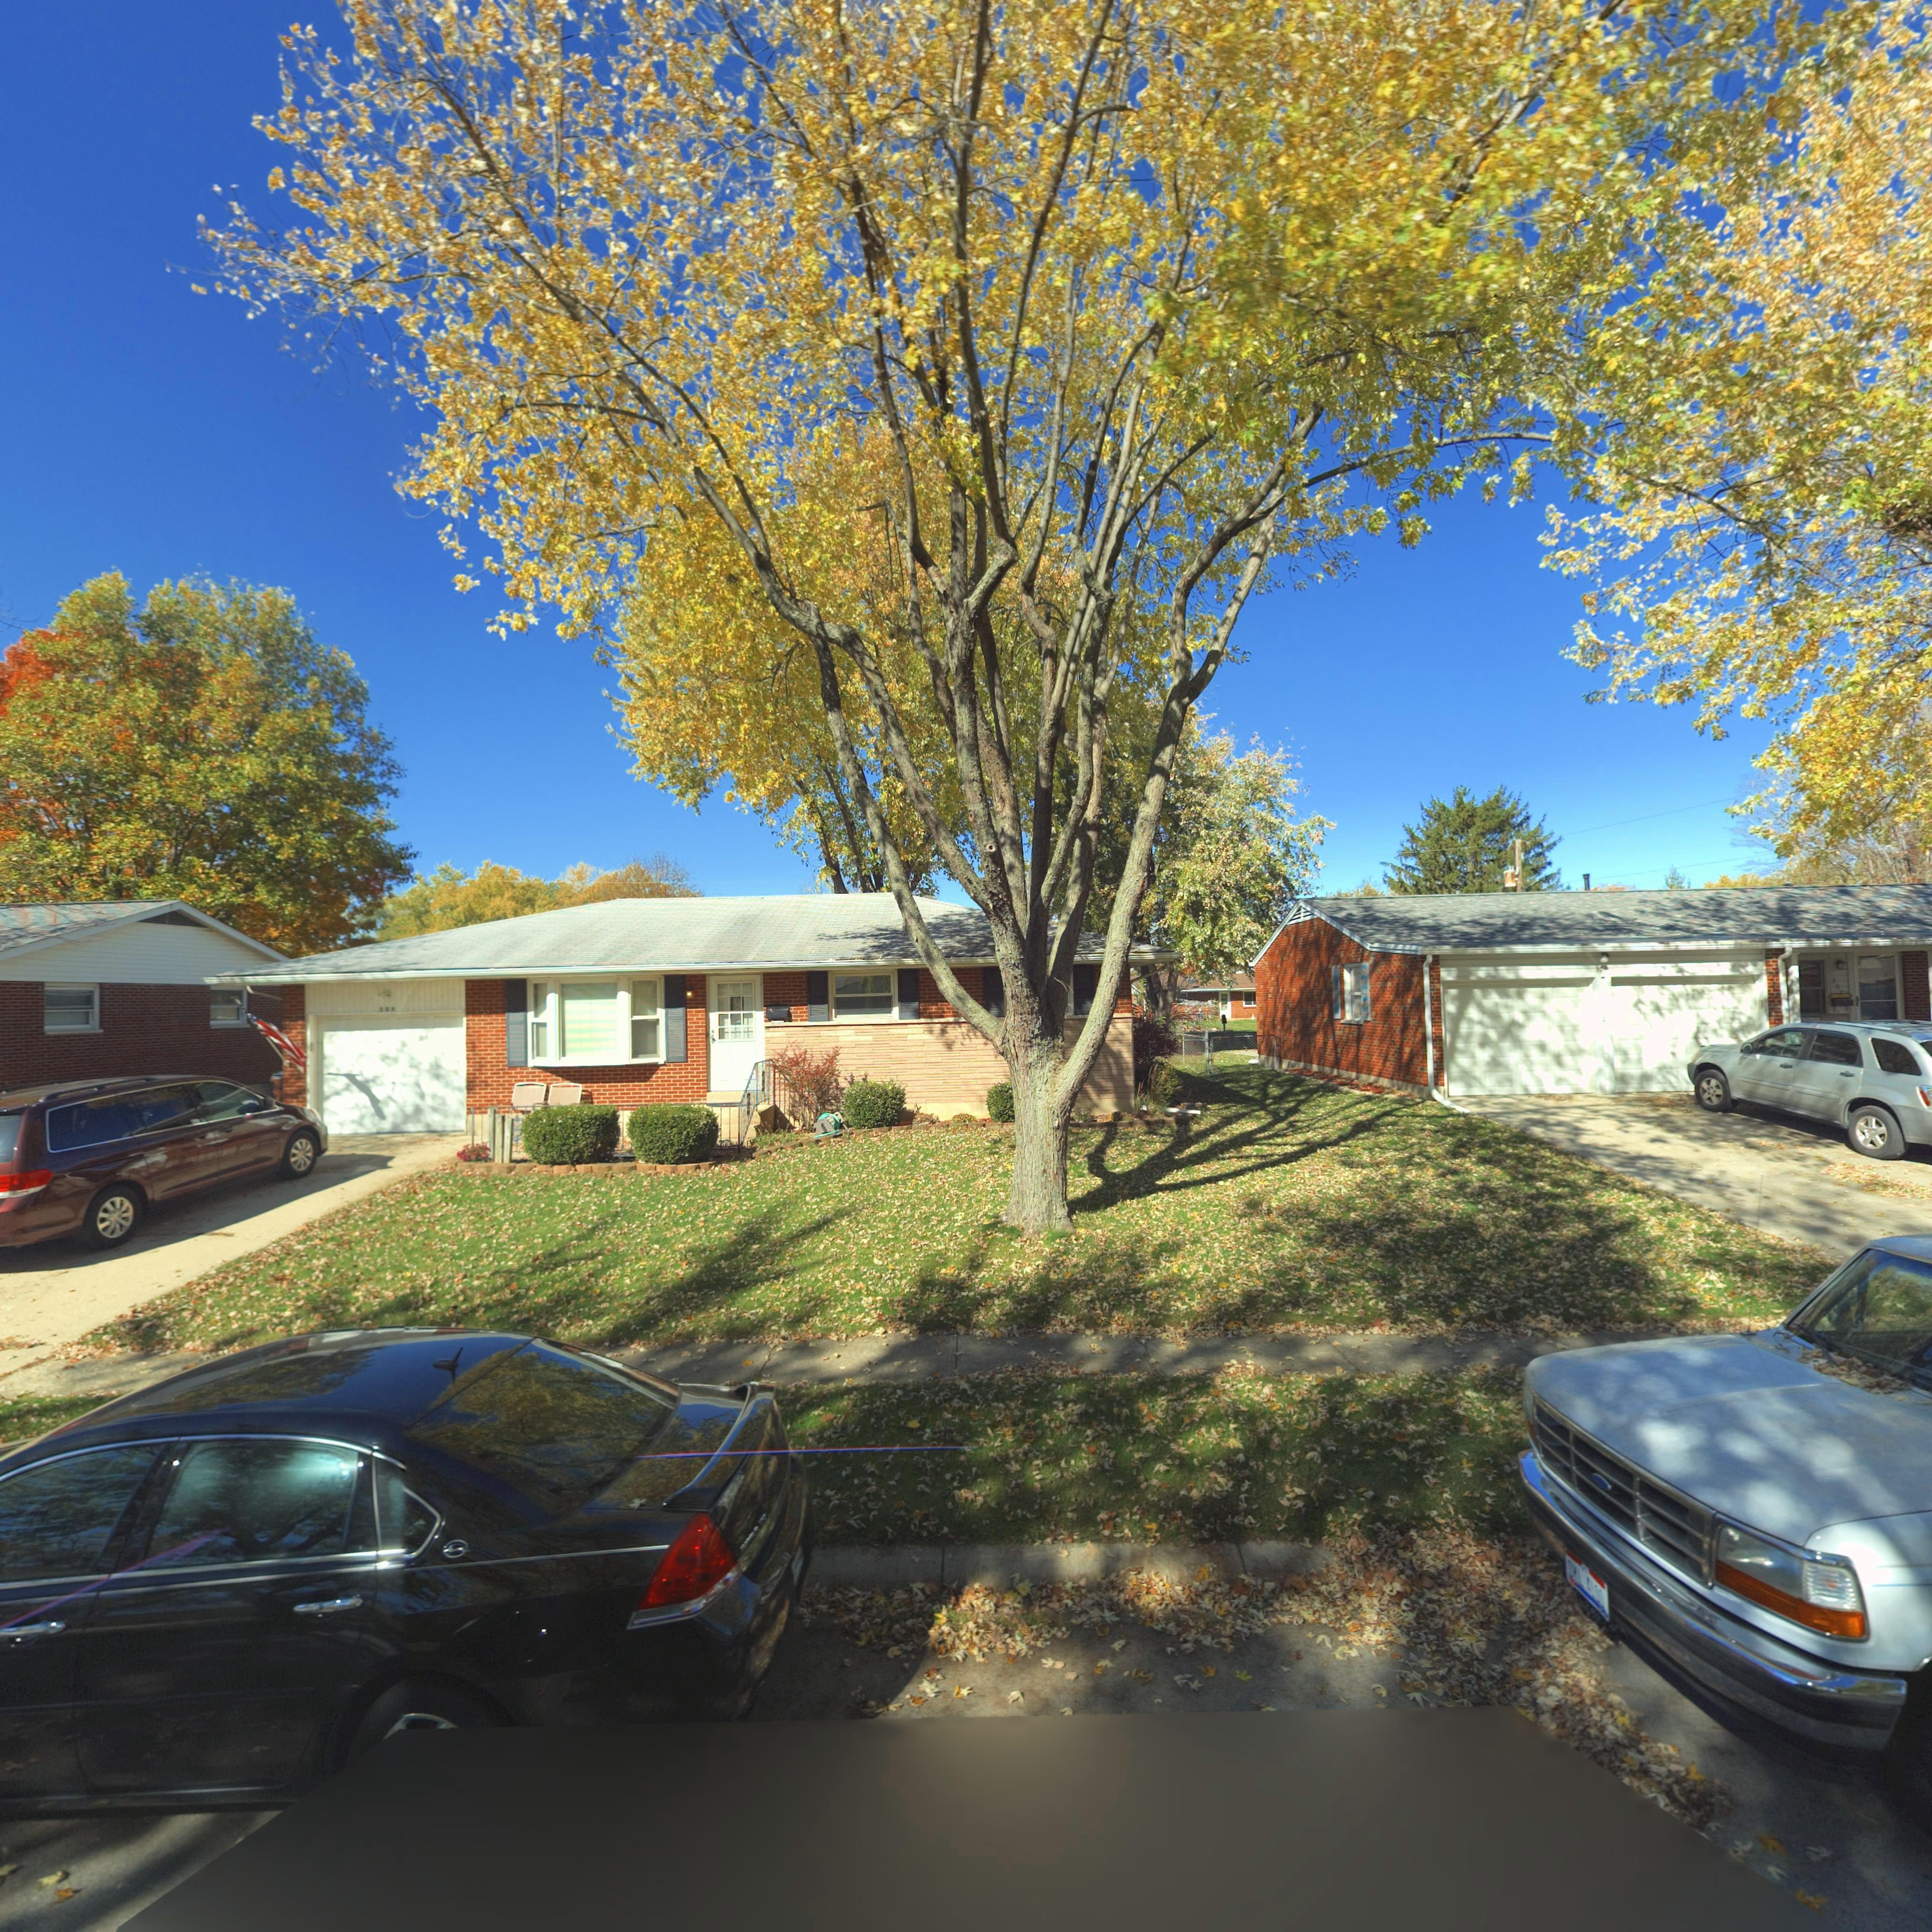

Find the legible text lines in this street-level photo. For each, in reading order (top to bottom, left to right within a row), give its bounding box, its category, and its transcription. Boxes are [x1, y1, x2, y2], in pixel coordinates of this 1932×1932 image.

[1831, 976, 1842, 991] StreetNumber: *0